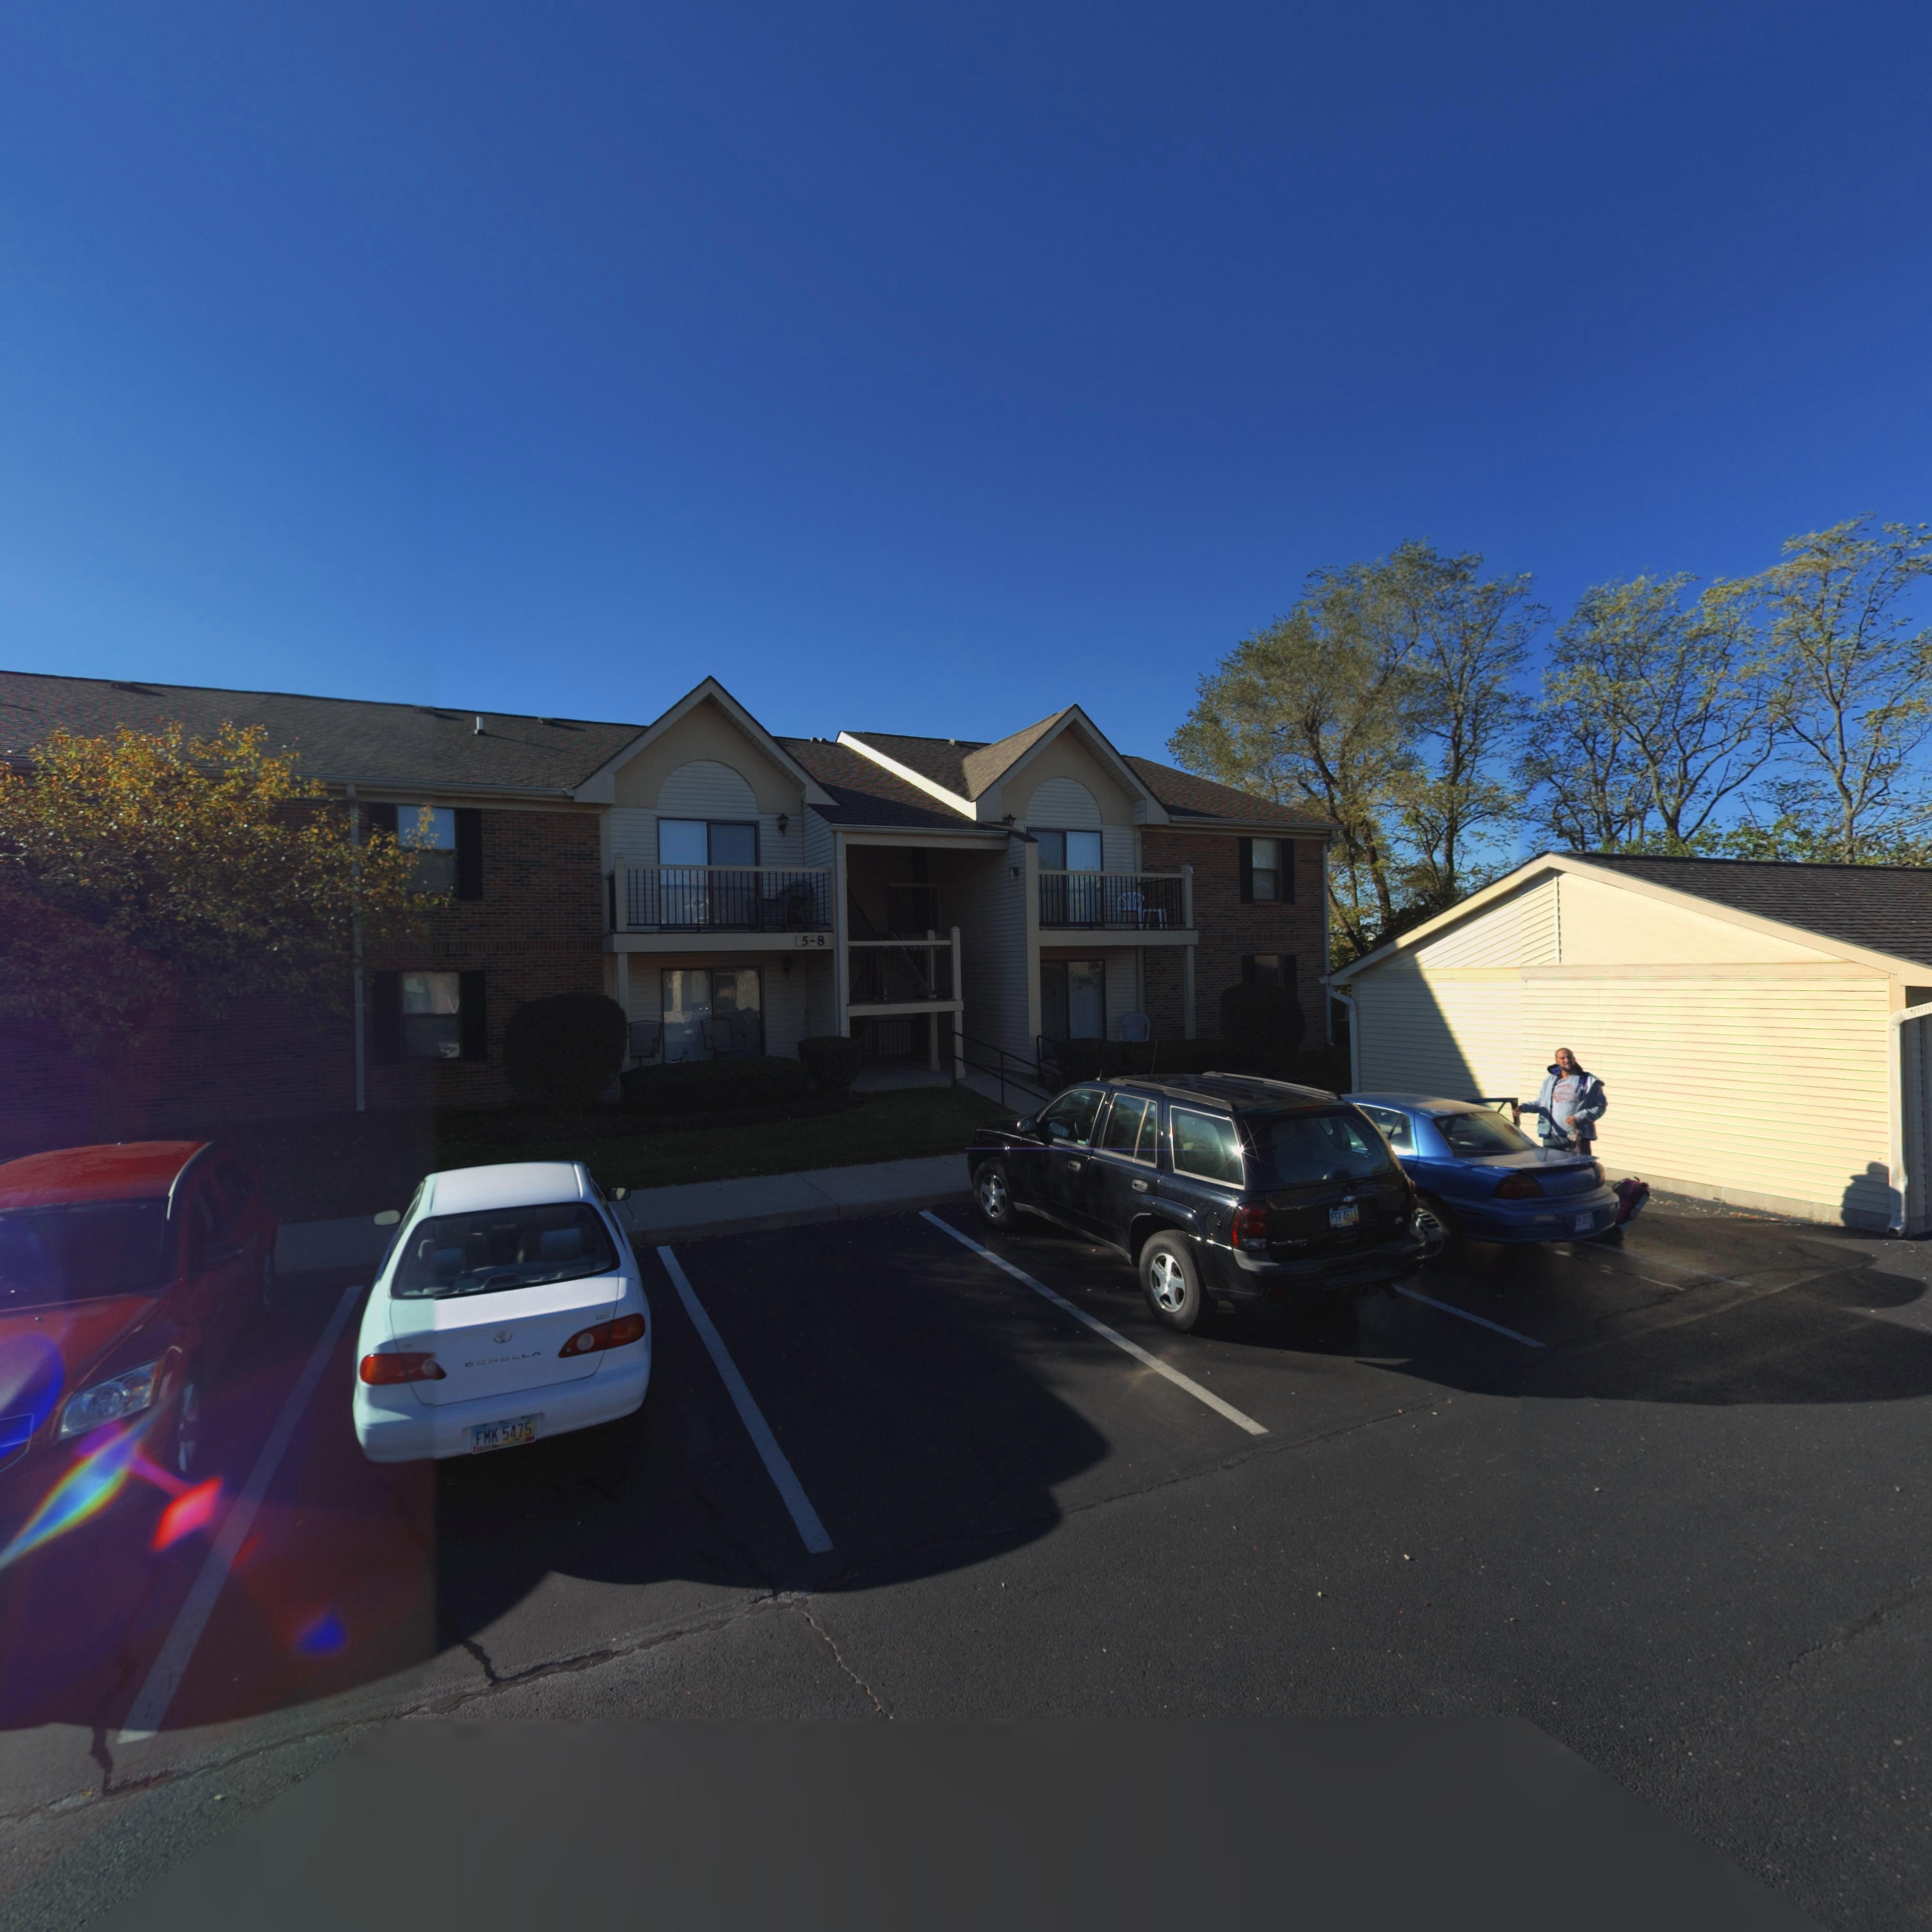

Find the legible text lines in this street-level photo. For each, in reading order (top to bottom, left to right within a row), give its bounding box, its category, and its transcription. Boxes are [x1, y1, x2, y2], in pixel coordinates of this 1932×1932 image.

[800, 935, 825, 946] StreetNumber: 5-8